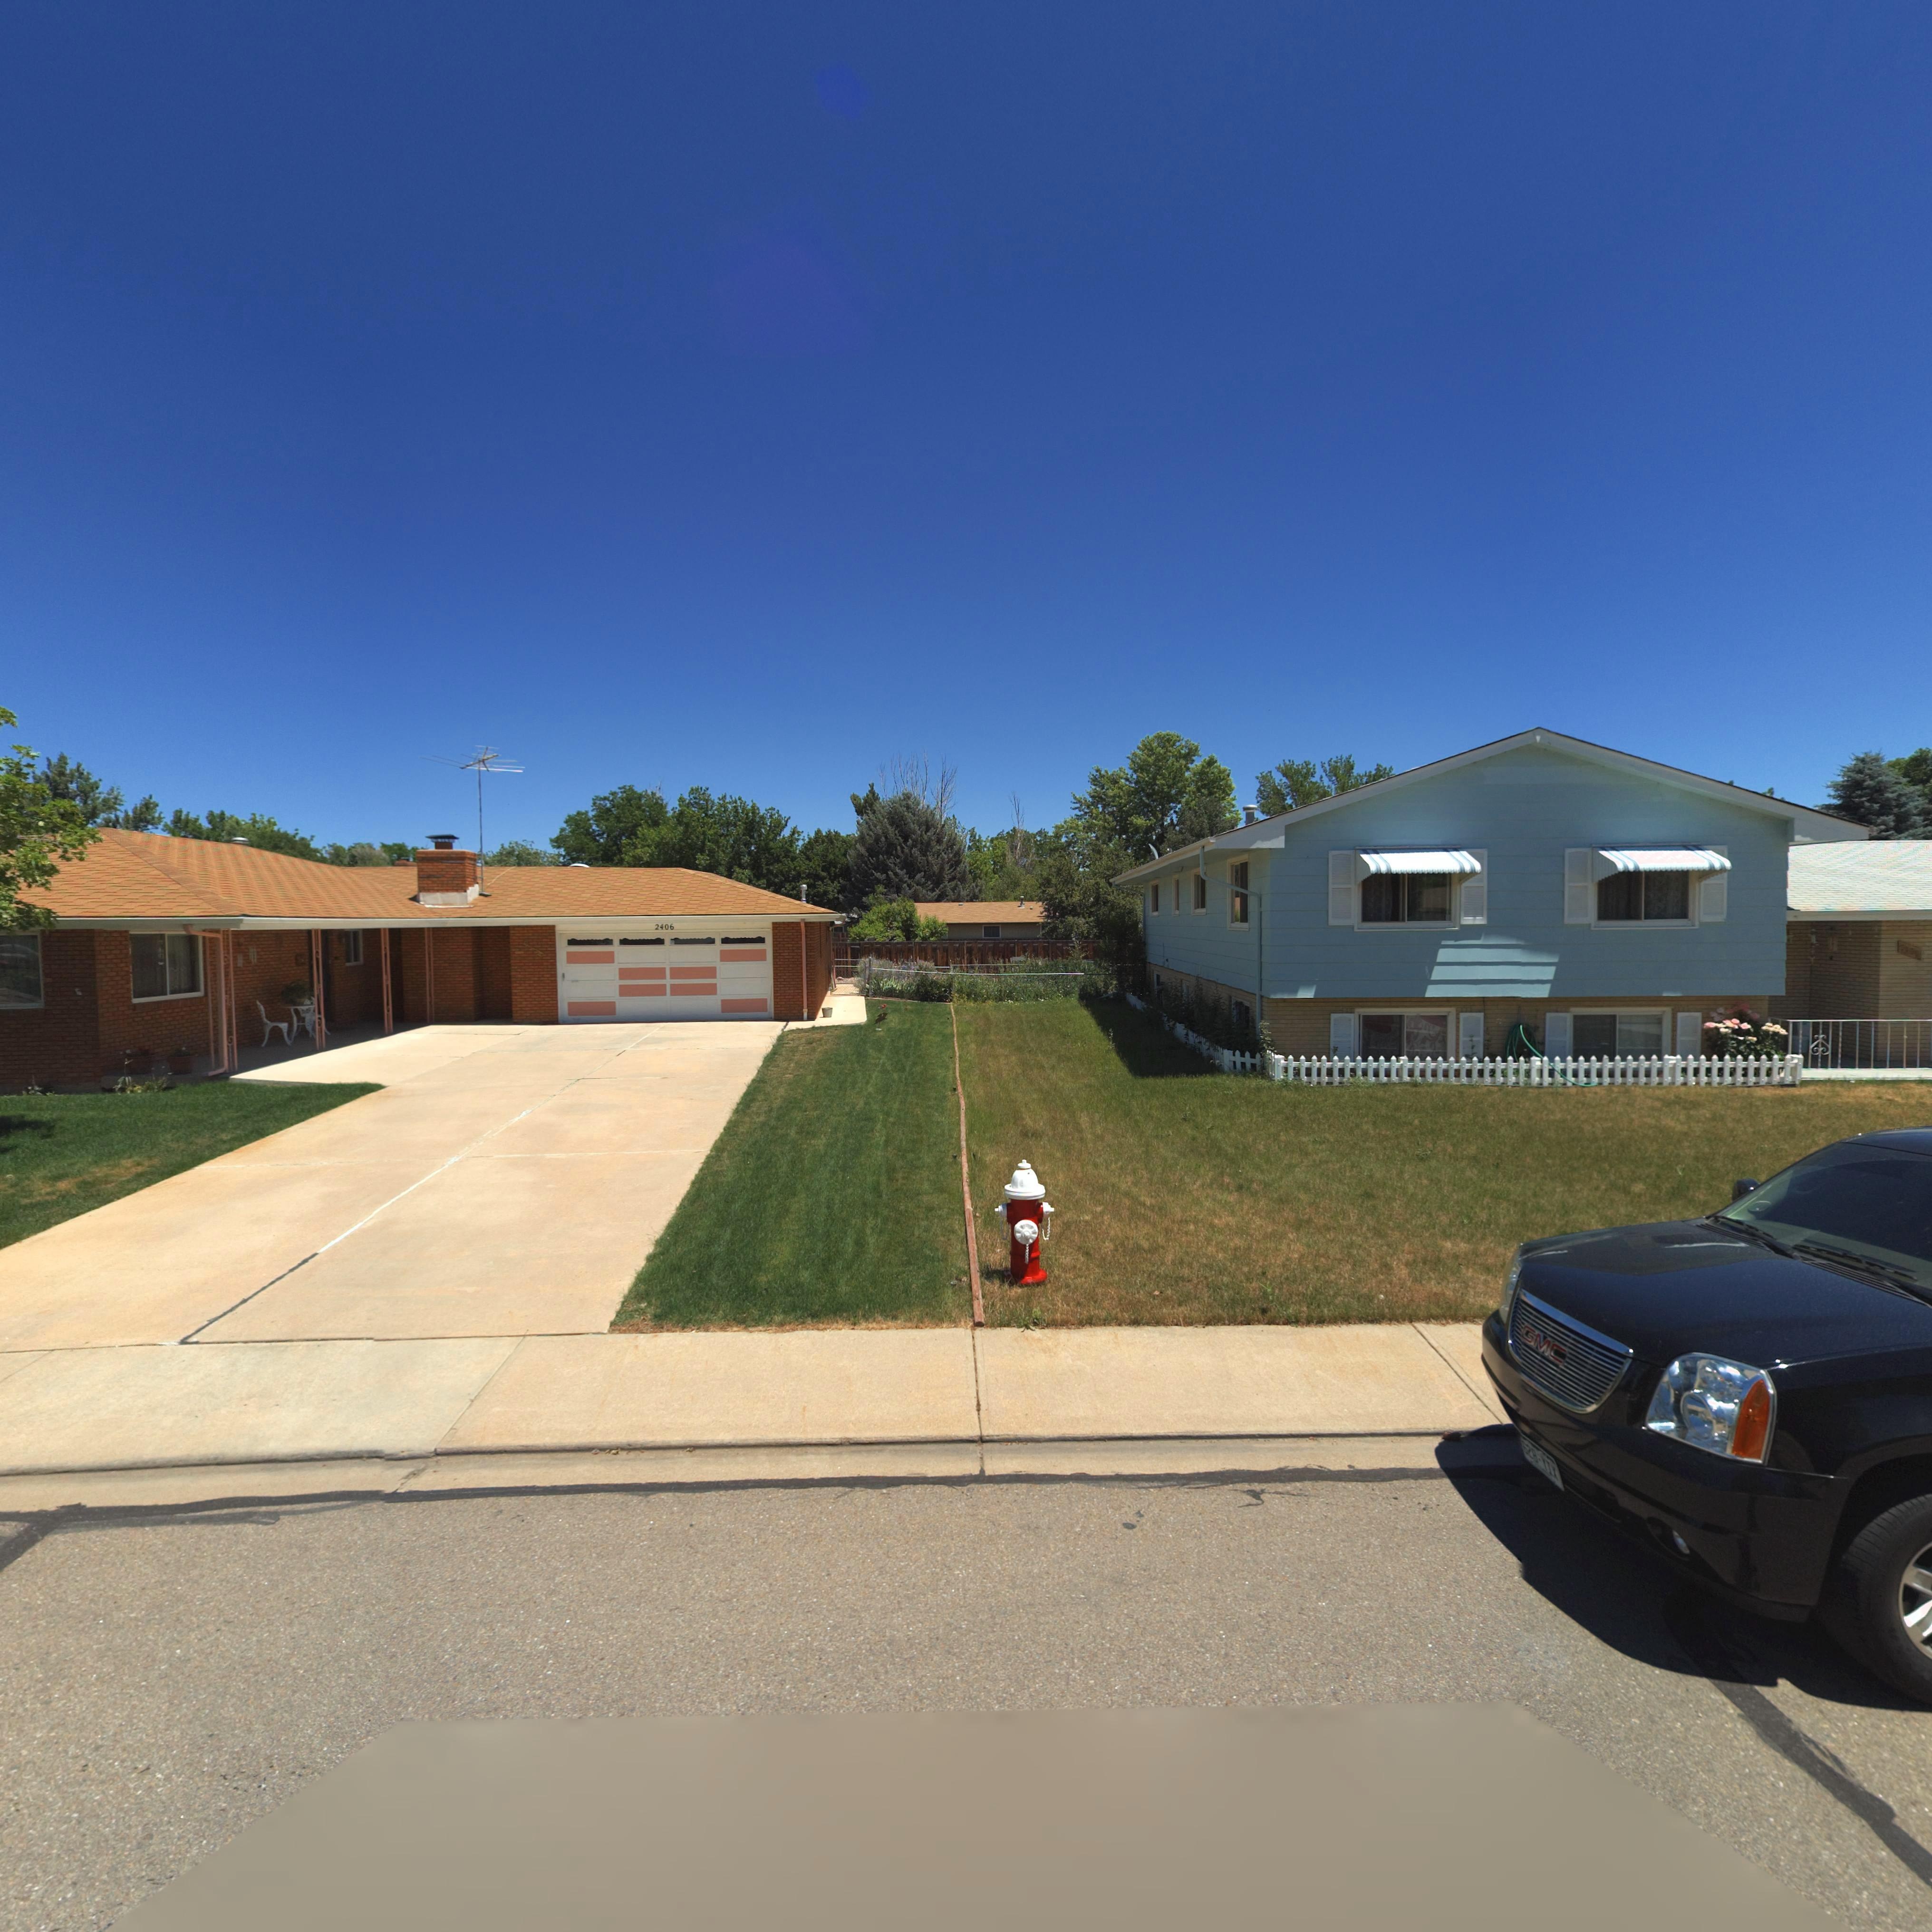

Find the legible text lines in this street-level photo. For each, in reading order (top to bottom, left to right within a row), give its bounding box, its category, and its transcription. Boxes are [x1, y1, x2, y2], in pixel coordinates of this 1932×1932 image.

[655, 923, 674, 930] StreetNumber: 2406